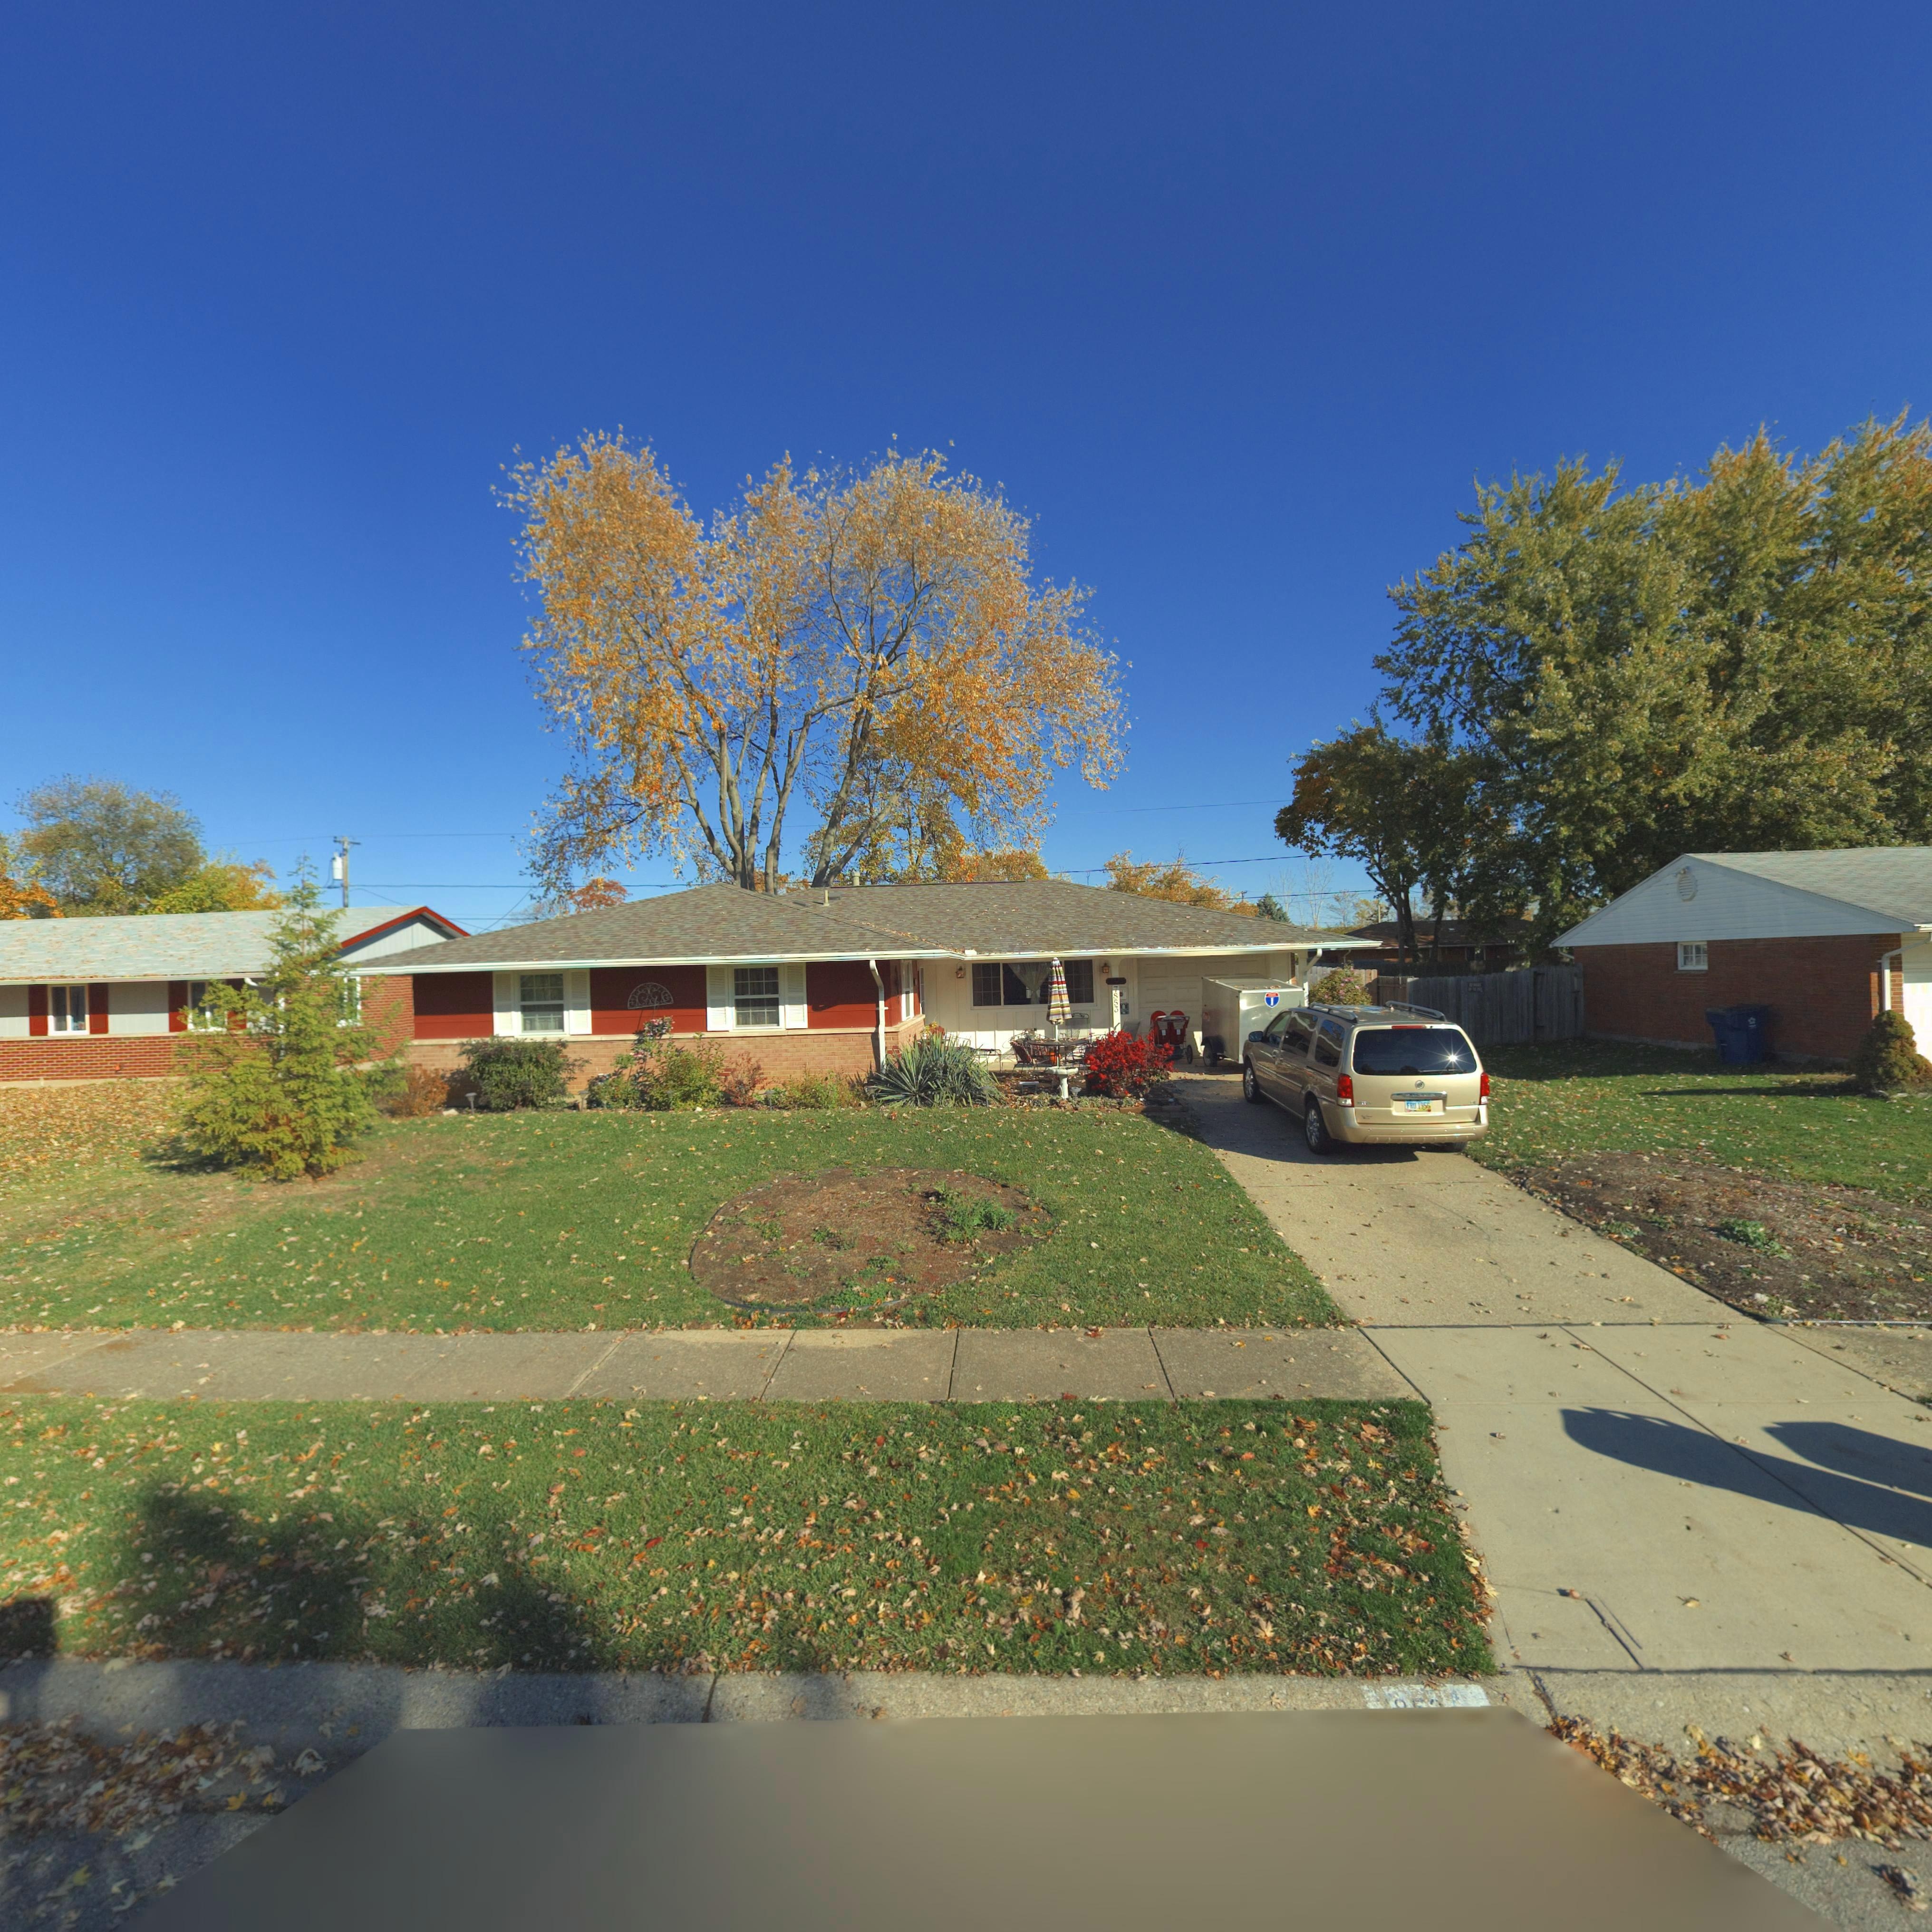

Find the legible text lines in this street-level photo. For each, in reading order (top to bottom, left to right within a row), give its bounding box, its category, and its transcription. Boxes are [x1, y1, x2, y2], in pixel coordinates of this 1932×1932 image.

[1112, 985, 1119, 1013] StreetNumber: 7853